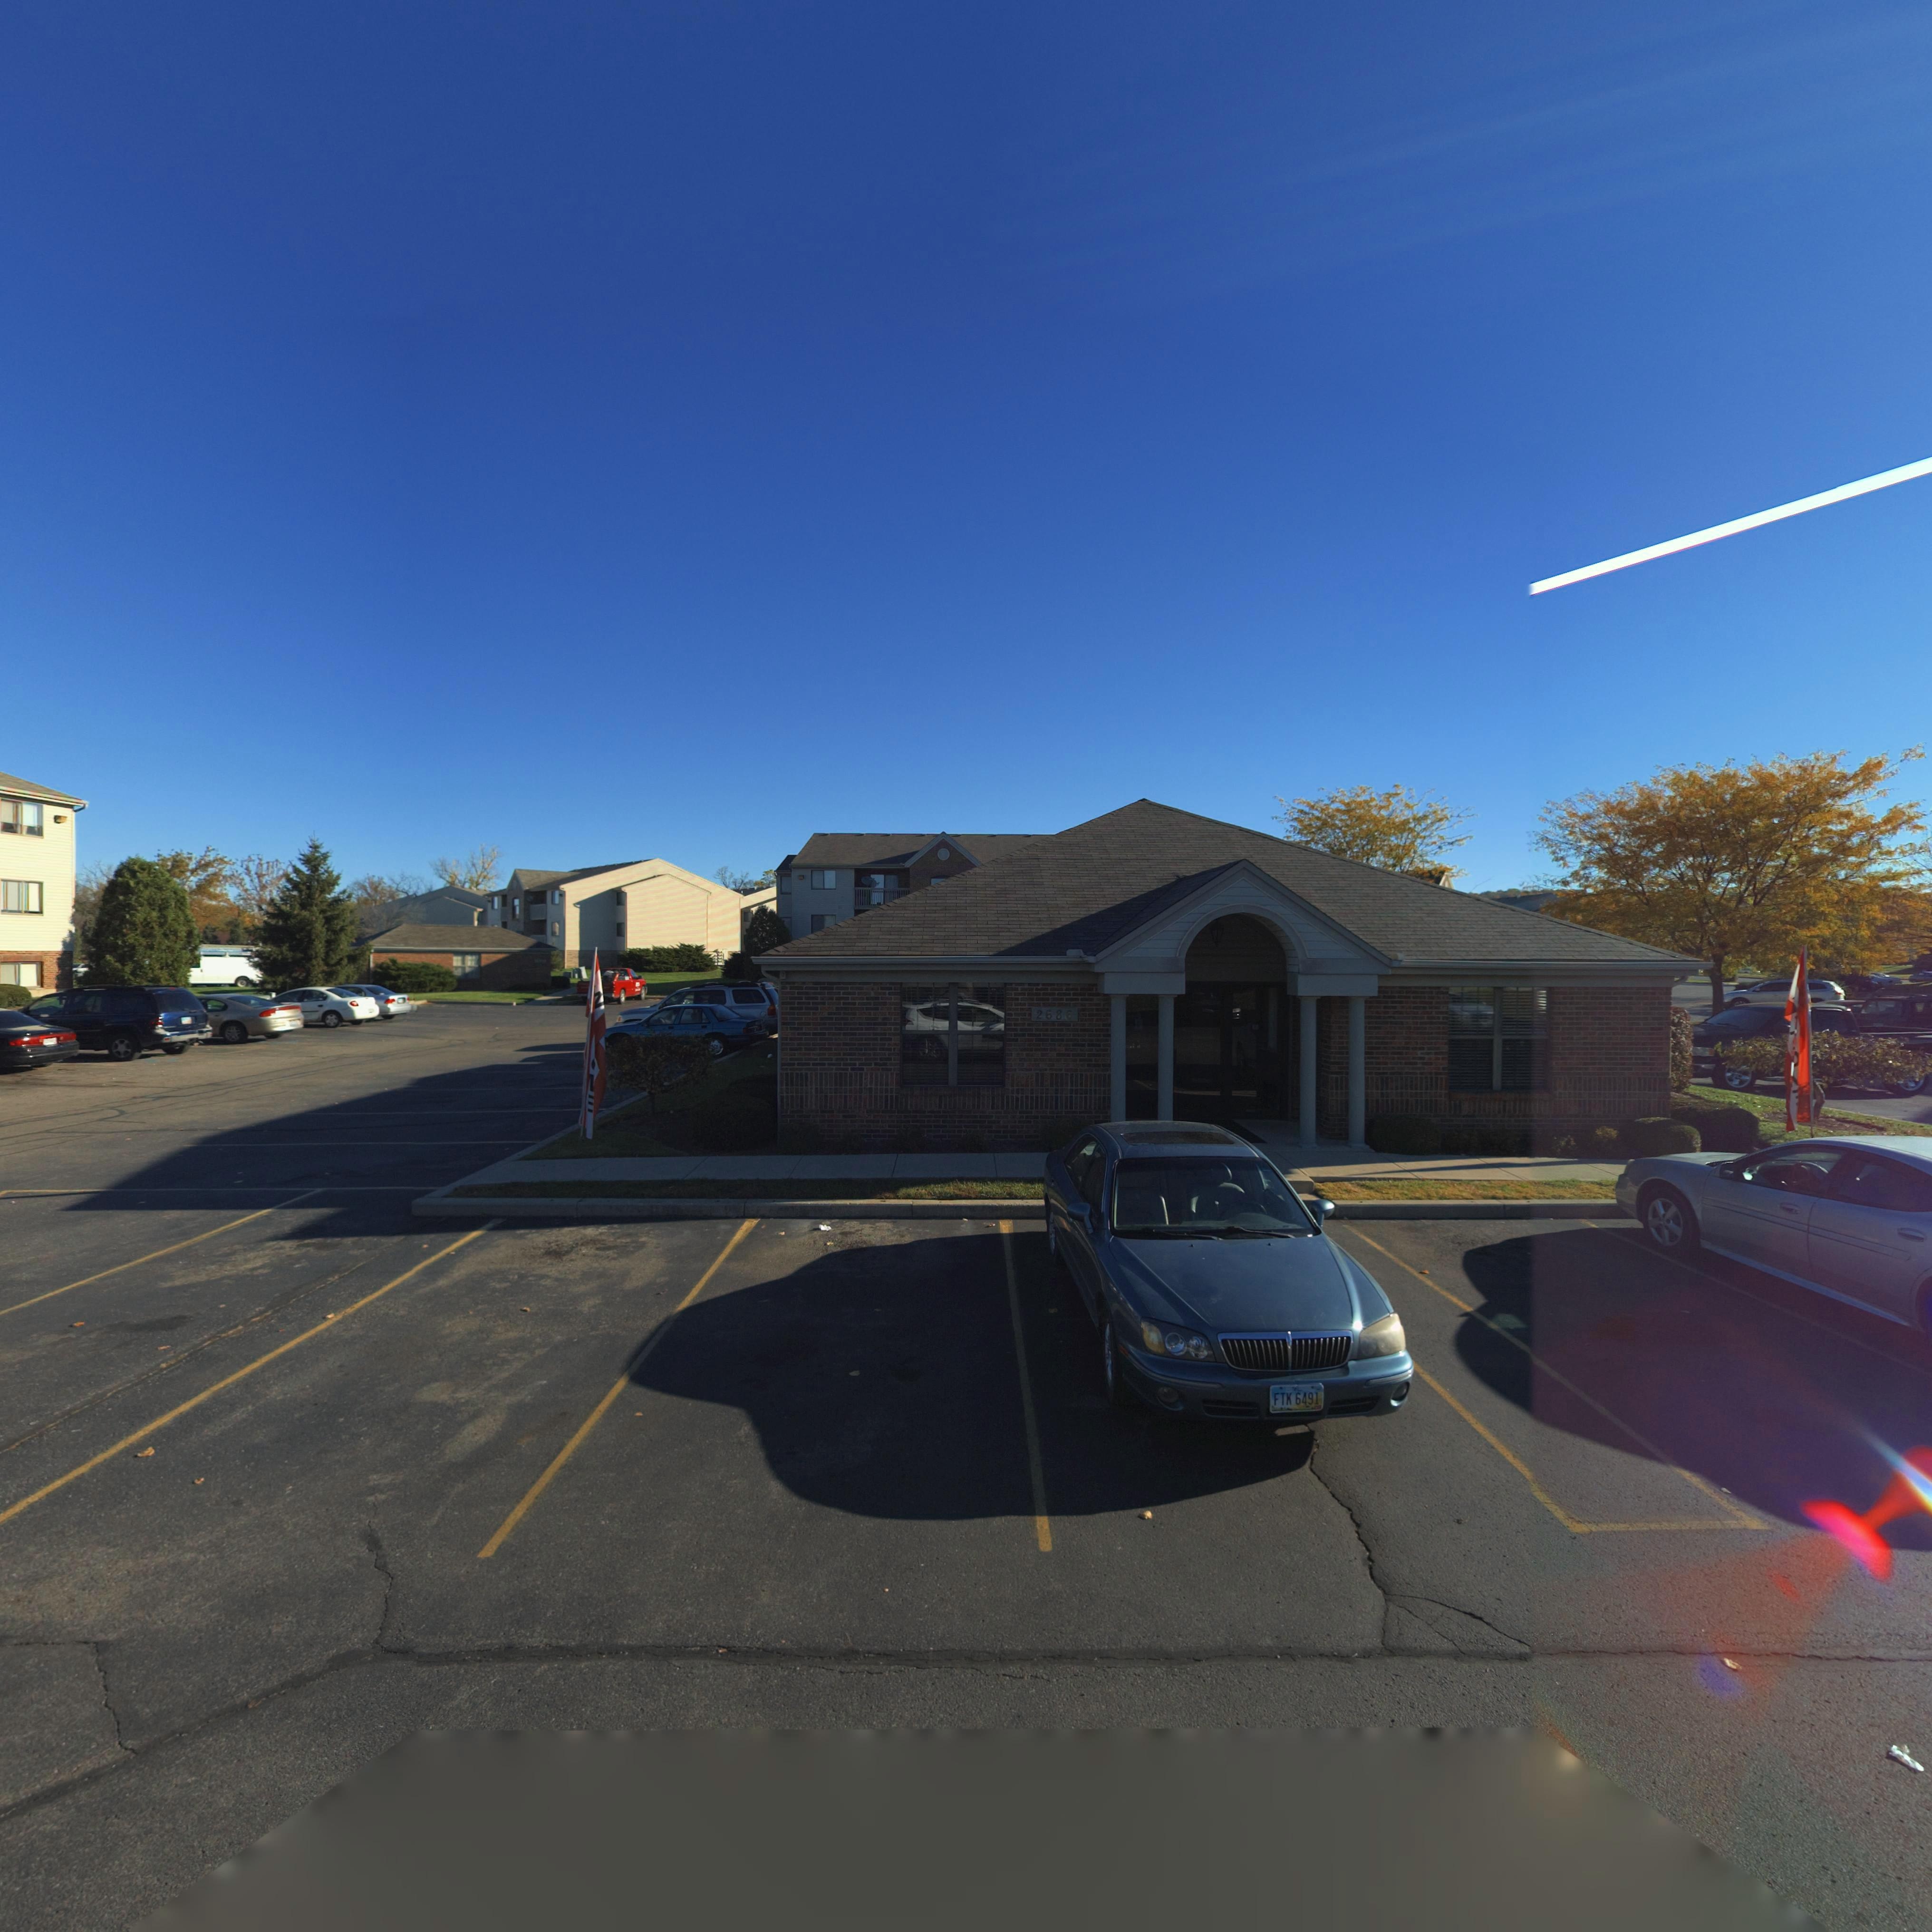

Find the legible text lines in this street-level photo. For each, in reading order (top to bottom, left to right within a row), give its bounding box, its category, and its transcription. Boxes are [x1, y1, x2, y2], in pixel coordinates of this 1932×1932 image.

[1035, 1009, 1073, 1020] StreetNumber: 2686